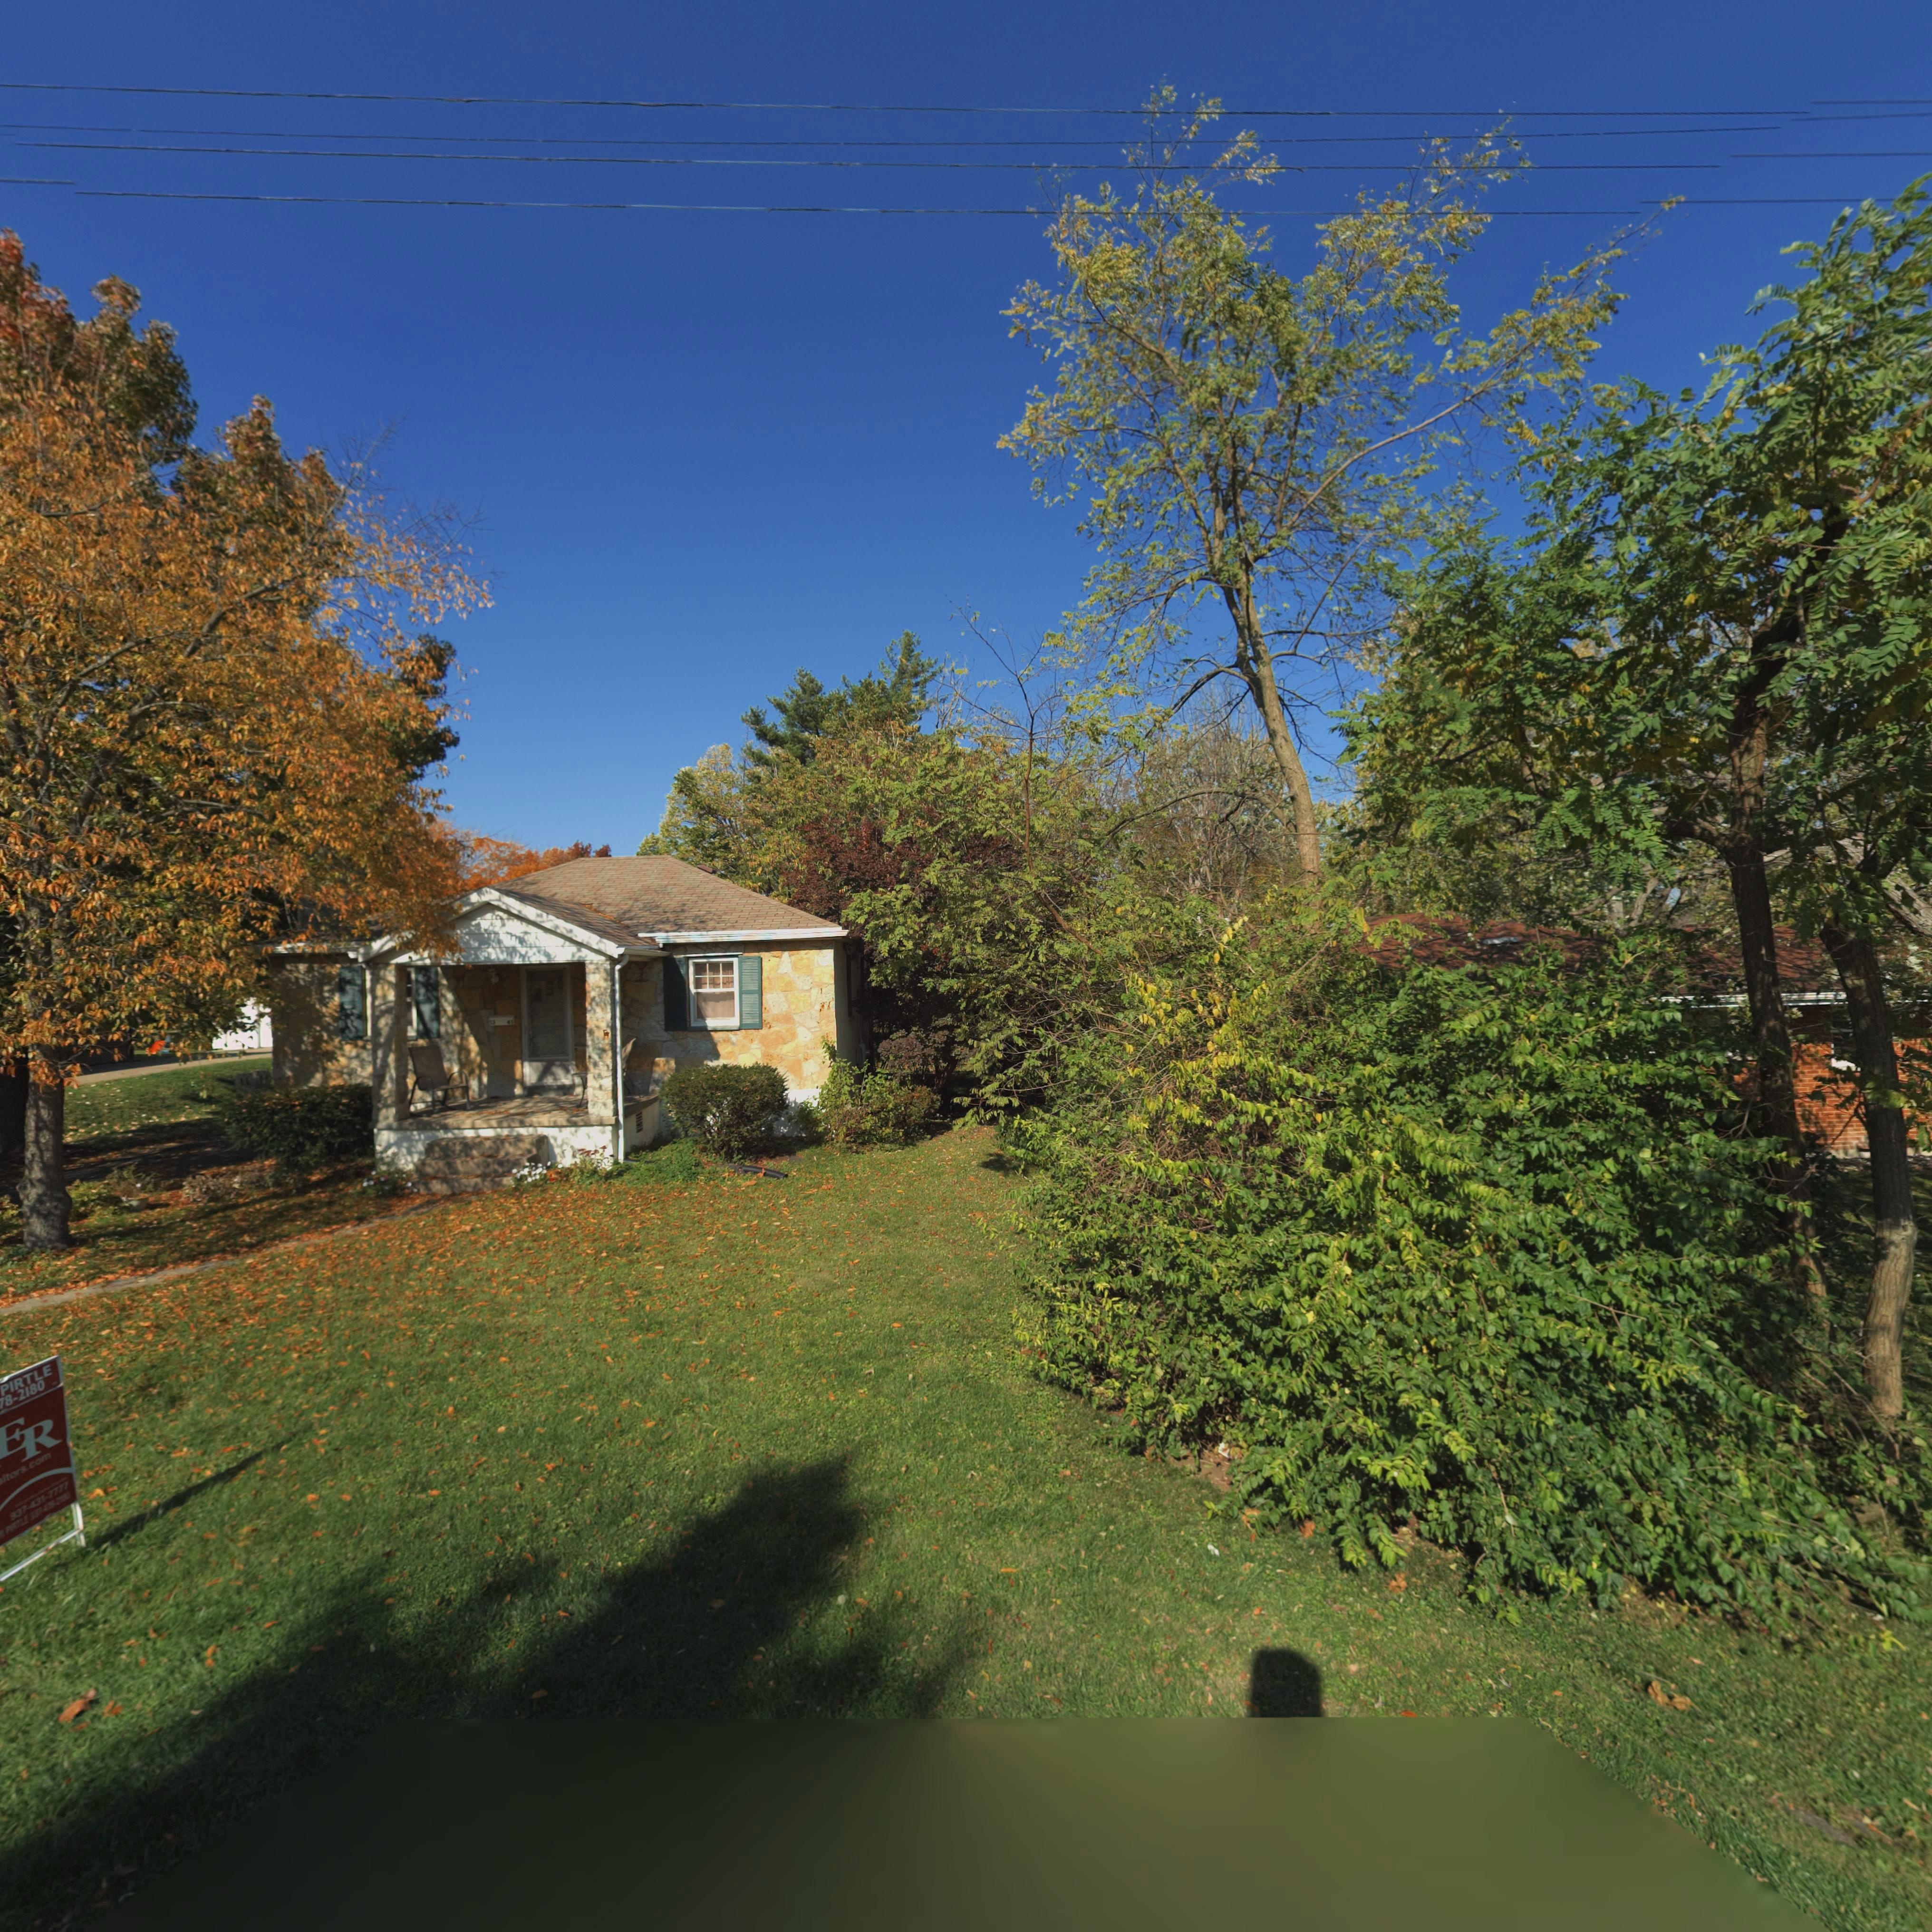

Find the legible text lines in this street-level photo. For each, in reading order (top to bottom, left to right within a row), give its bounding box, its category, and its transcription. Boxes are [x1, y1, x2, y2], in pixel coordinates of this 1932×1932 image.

[489, 1018, 514, 1026] StreetNumber: 13 41
[3, 1377, 46, 1409] None: 8-2180
[0, 1362, 54, 1398] None: PIRTLE
[17, 1416, 64, 1465] None: R
[0, 1450, 53, 1486] None: ltors.com
[8, 1478, 70, 1523] None: 937-43*-7777